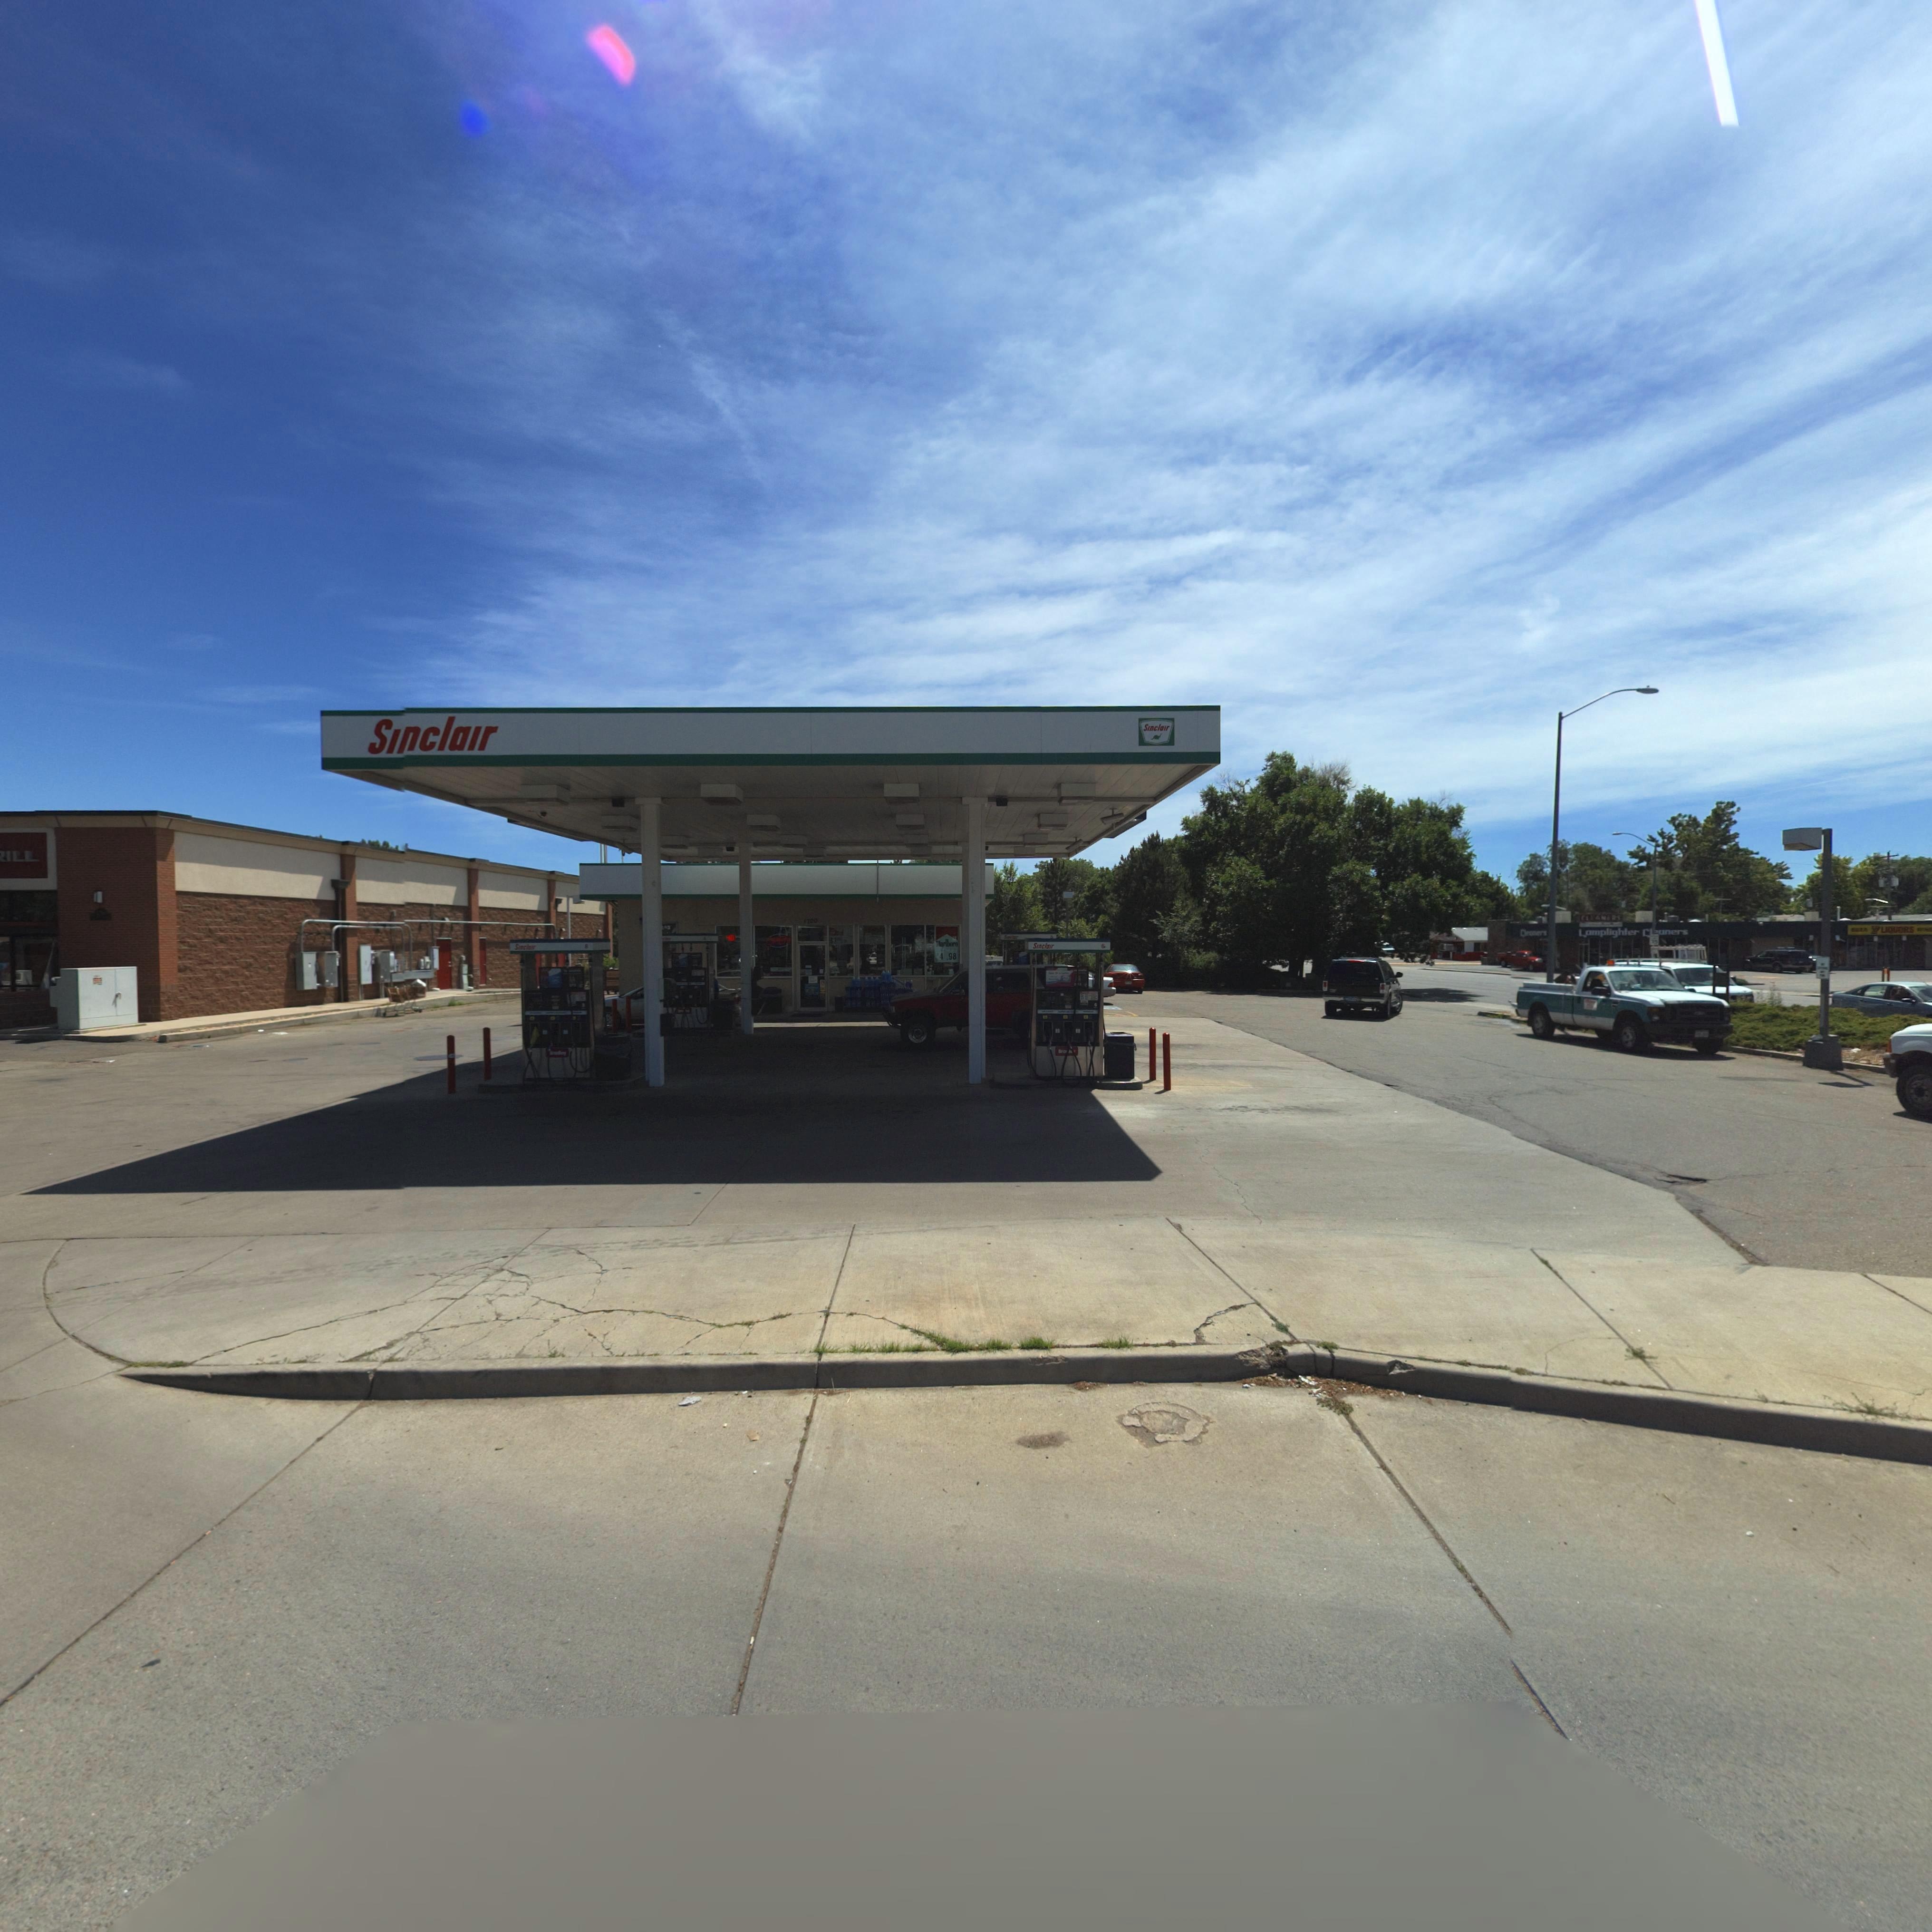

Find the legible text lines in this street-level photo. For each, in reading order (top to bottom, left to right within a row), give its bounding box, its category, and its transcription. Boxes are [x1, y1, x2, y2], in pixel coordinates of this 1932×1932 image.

[1143, 723, 1170, 731] BusinessName: SInclaIr
[367, 715, 499, 755] BusinessName: SInclaIr
[6, 850, 40, 862] BusinessName: ILL
[803, 917, 818, 924] StreetNumber: 1700
[1580, 915, 1621, 921] BusinessName: C**AN*RS
[1519, 928, 1547, 937] BusinessName: C*****rs
[1578, 927, 1689, 938] BusinessName: Lamplighter C***ners
[662, 936, 671, 940] BusinessName: ***r
[1003, 934, 1019, 939] BusinessName: S**cl**r
[513, 943, 537, 950] BusinessName: SI*cl**r
[1032, 942, 1054, 949] BusinessName: SInclaIr
[550, 1050, 567, 1057] BusinessName: ******y
[1058, 1049, 1075, 1053] BusinessName: B*a****